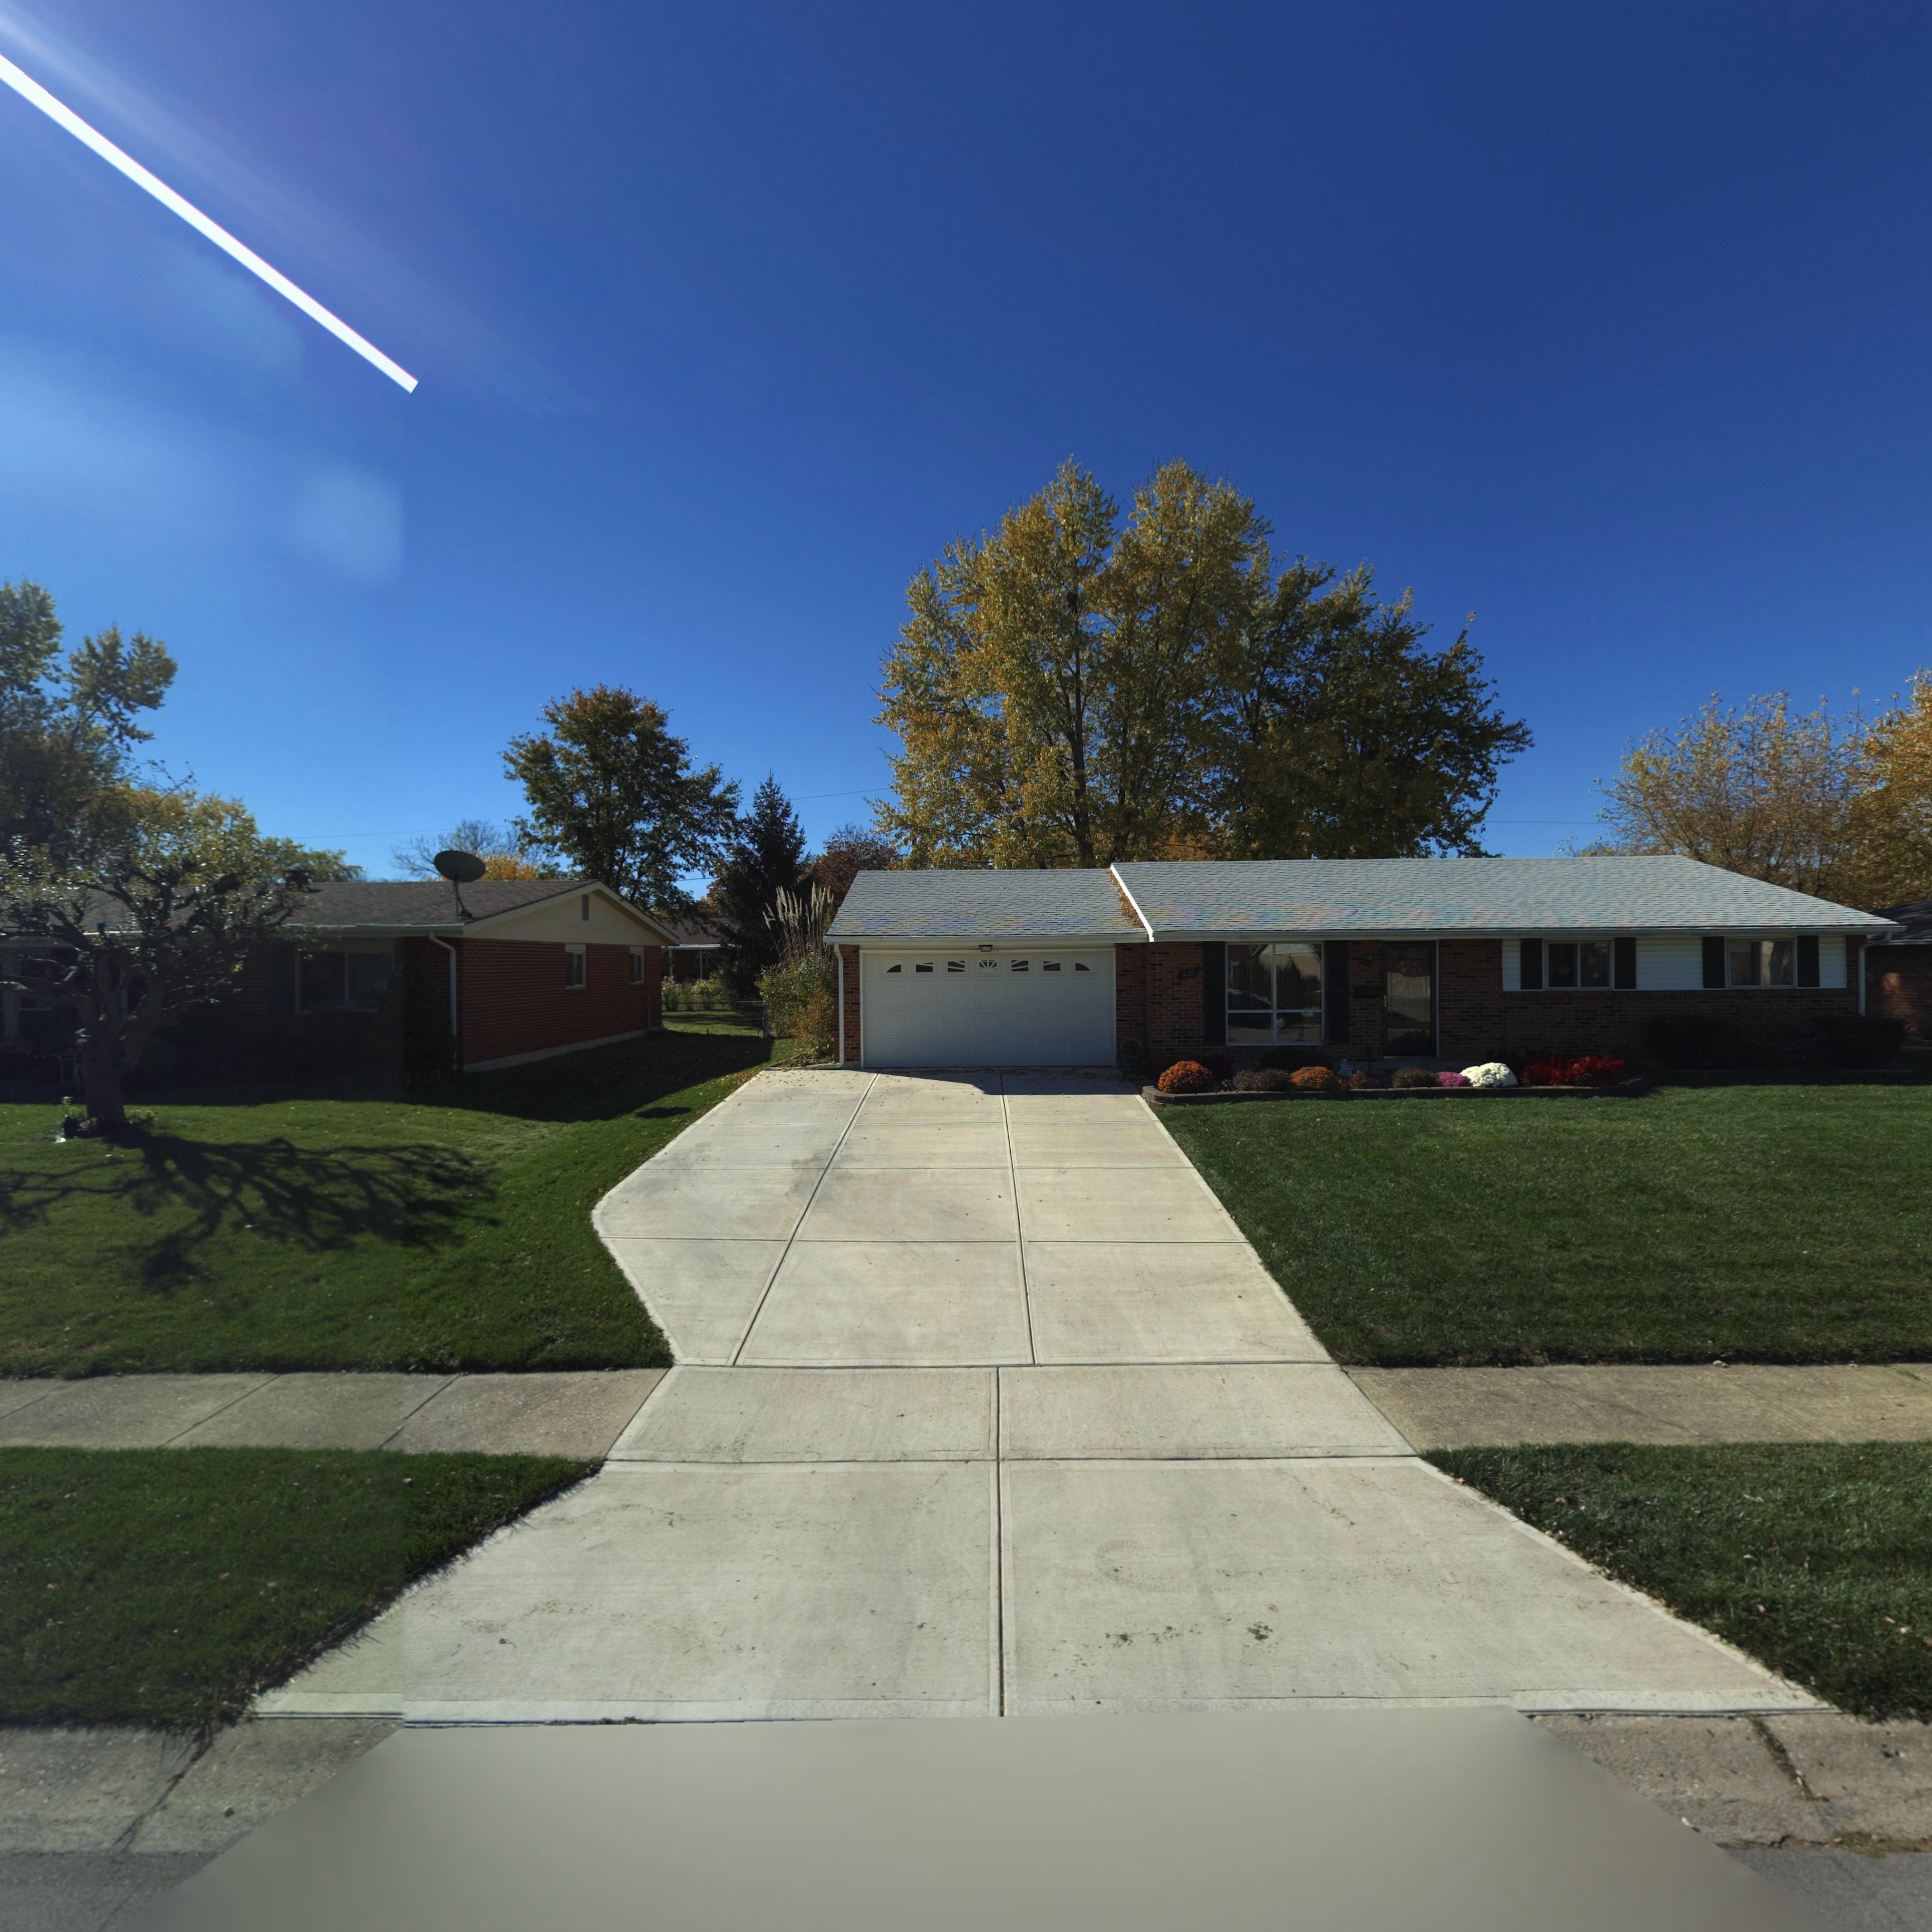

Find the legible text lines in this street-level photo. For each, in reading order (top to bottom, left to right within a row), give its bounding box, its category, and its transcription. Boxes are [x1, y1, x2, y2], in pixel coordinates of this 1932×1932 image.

[1180, 970, 1197, 977] StreetNumber: 1029